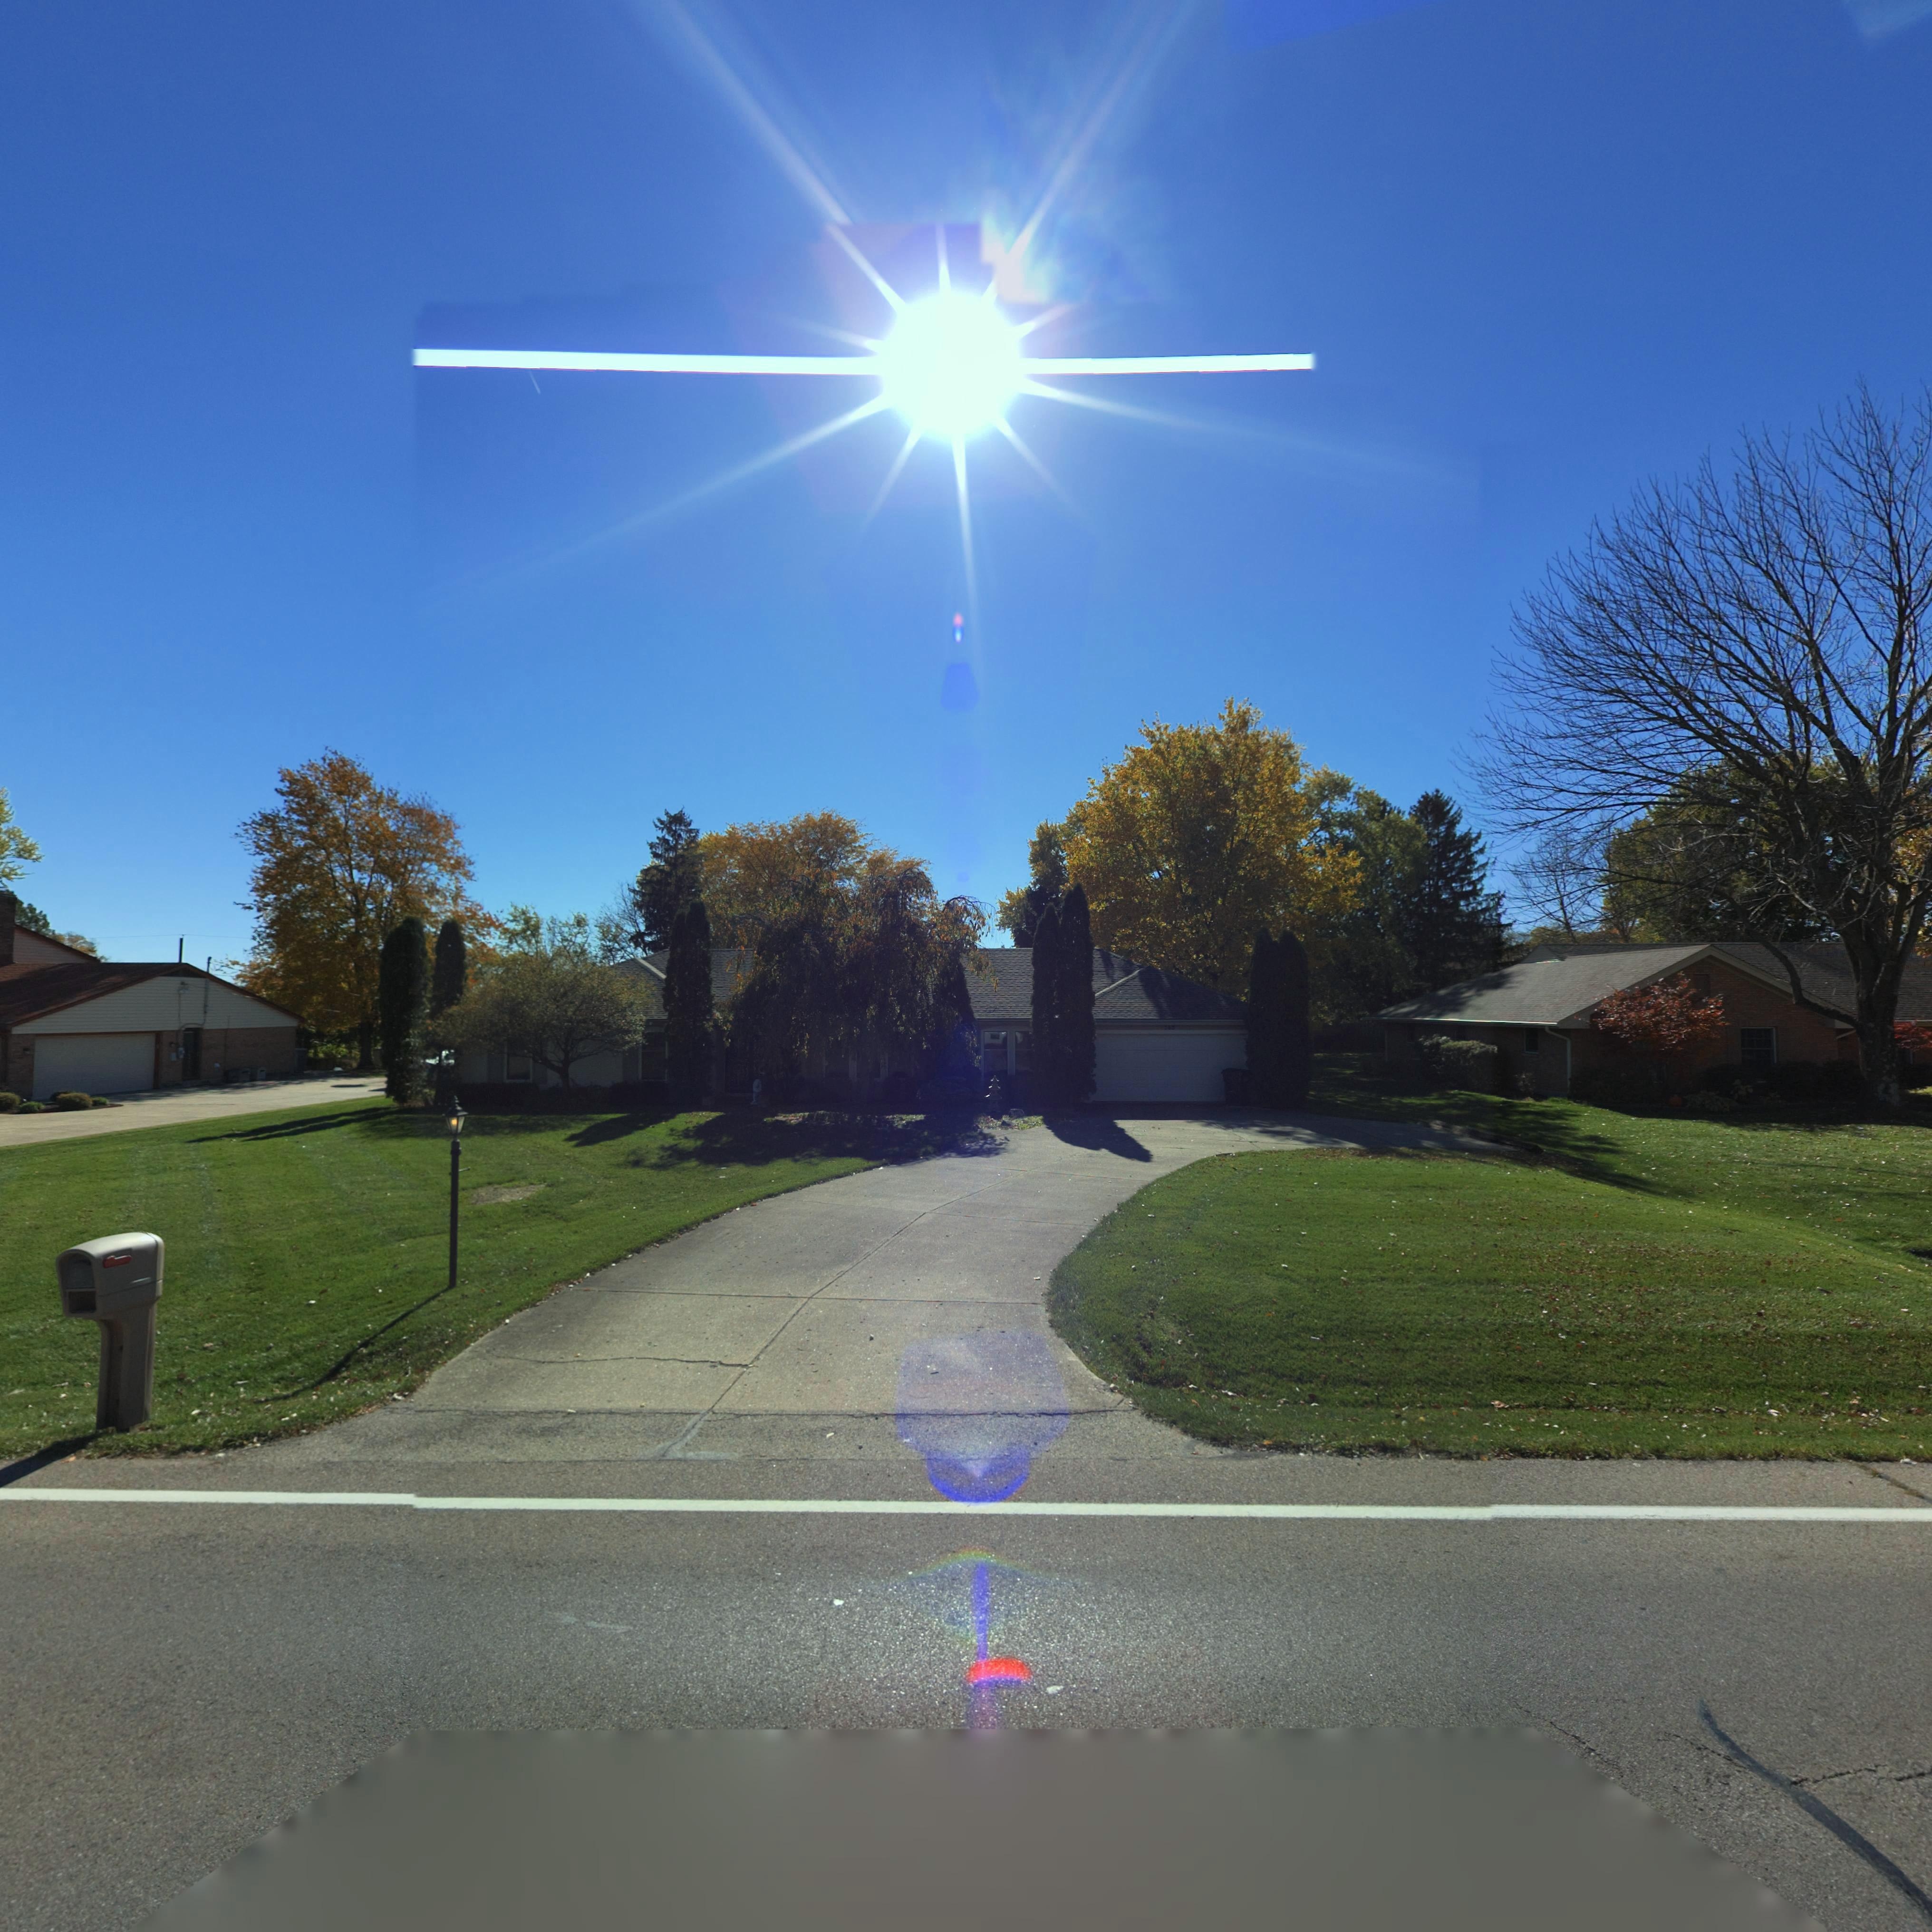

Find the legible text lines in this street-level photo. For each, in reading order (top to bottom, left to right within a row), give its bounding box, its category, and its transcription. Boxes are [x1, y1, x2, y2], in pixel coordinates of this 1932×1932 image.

[1164, 1024, 1175, 1030] StreetNumber: 56*